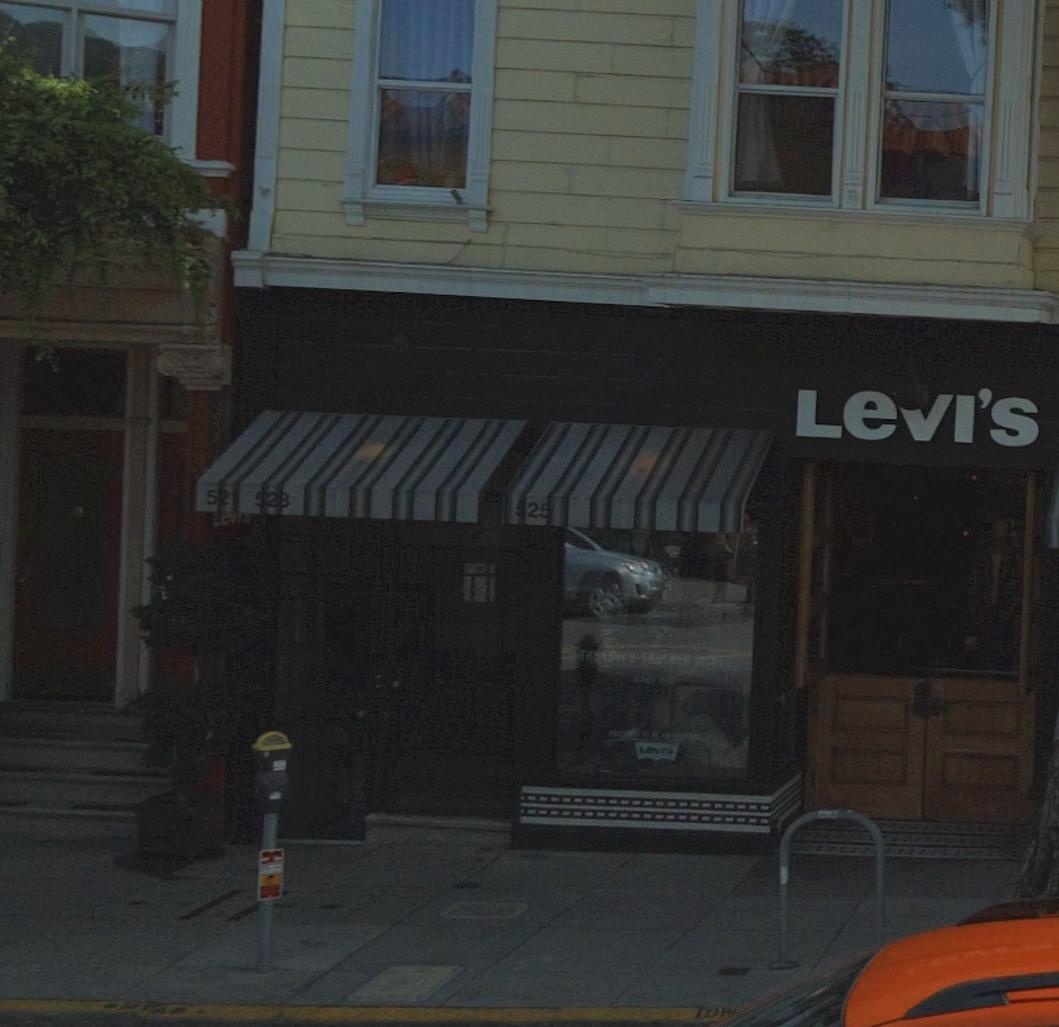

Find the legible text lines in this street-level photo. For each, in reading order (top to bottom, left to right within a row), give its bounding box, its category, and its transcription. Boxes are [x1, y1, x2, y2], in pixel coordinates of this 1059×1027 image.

[791, 386, 1043, 451] None: LeVI's
[204, 488, 242, 511] None: 52*
[251, 489, 294, 509] None: 528
[515, 499, 552, 520] StreetNumber: 525
[638, 745, 675, 757] None: LeVI's